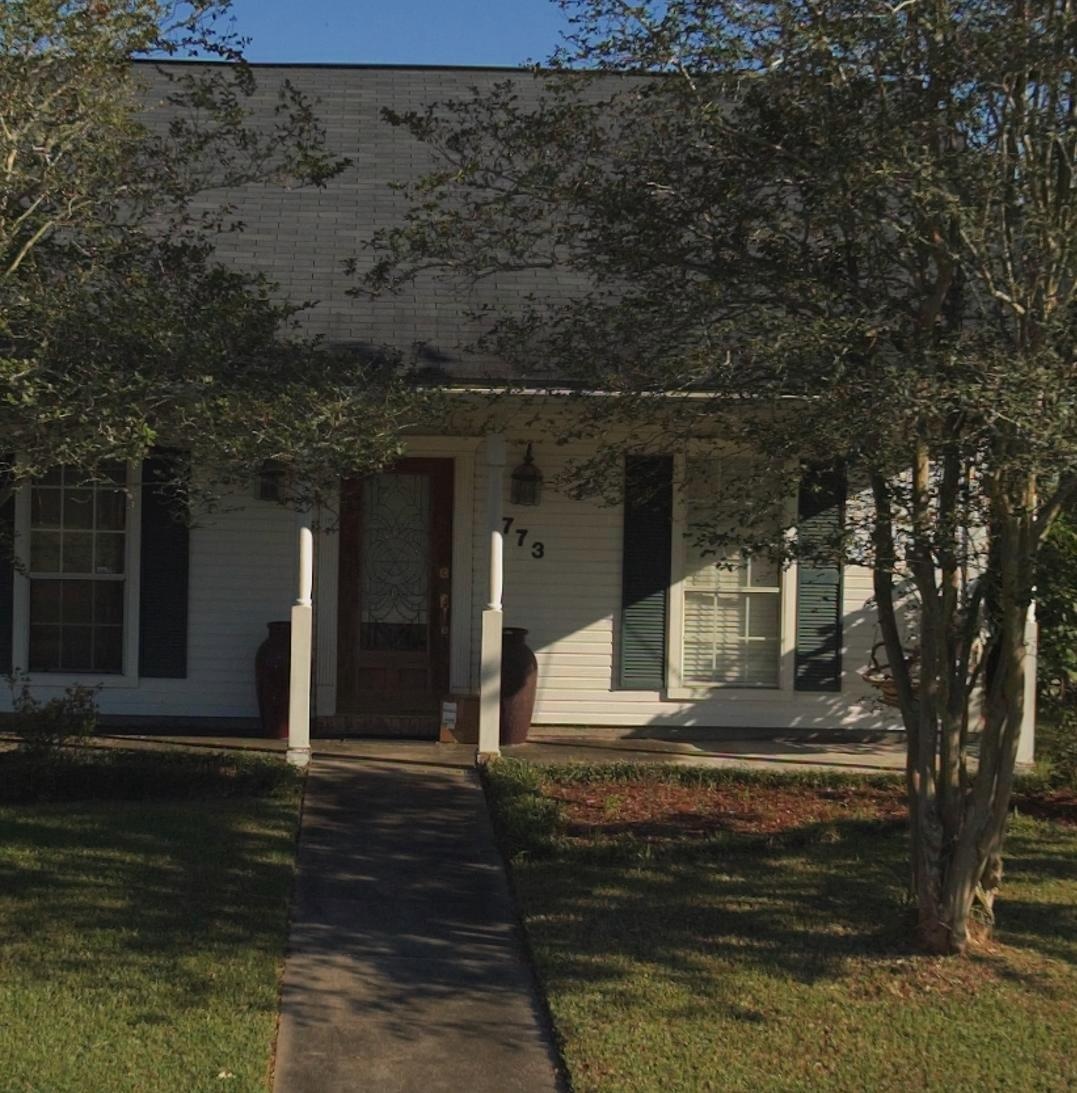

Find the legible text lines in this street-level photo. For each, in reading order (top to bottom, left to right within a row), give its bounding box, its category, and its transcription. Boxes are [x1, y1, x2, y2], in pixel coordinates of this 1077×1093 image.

[501, 516, 545, 566] StreetNumber: 773